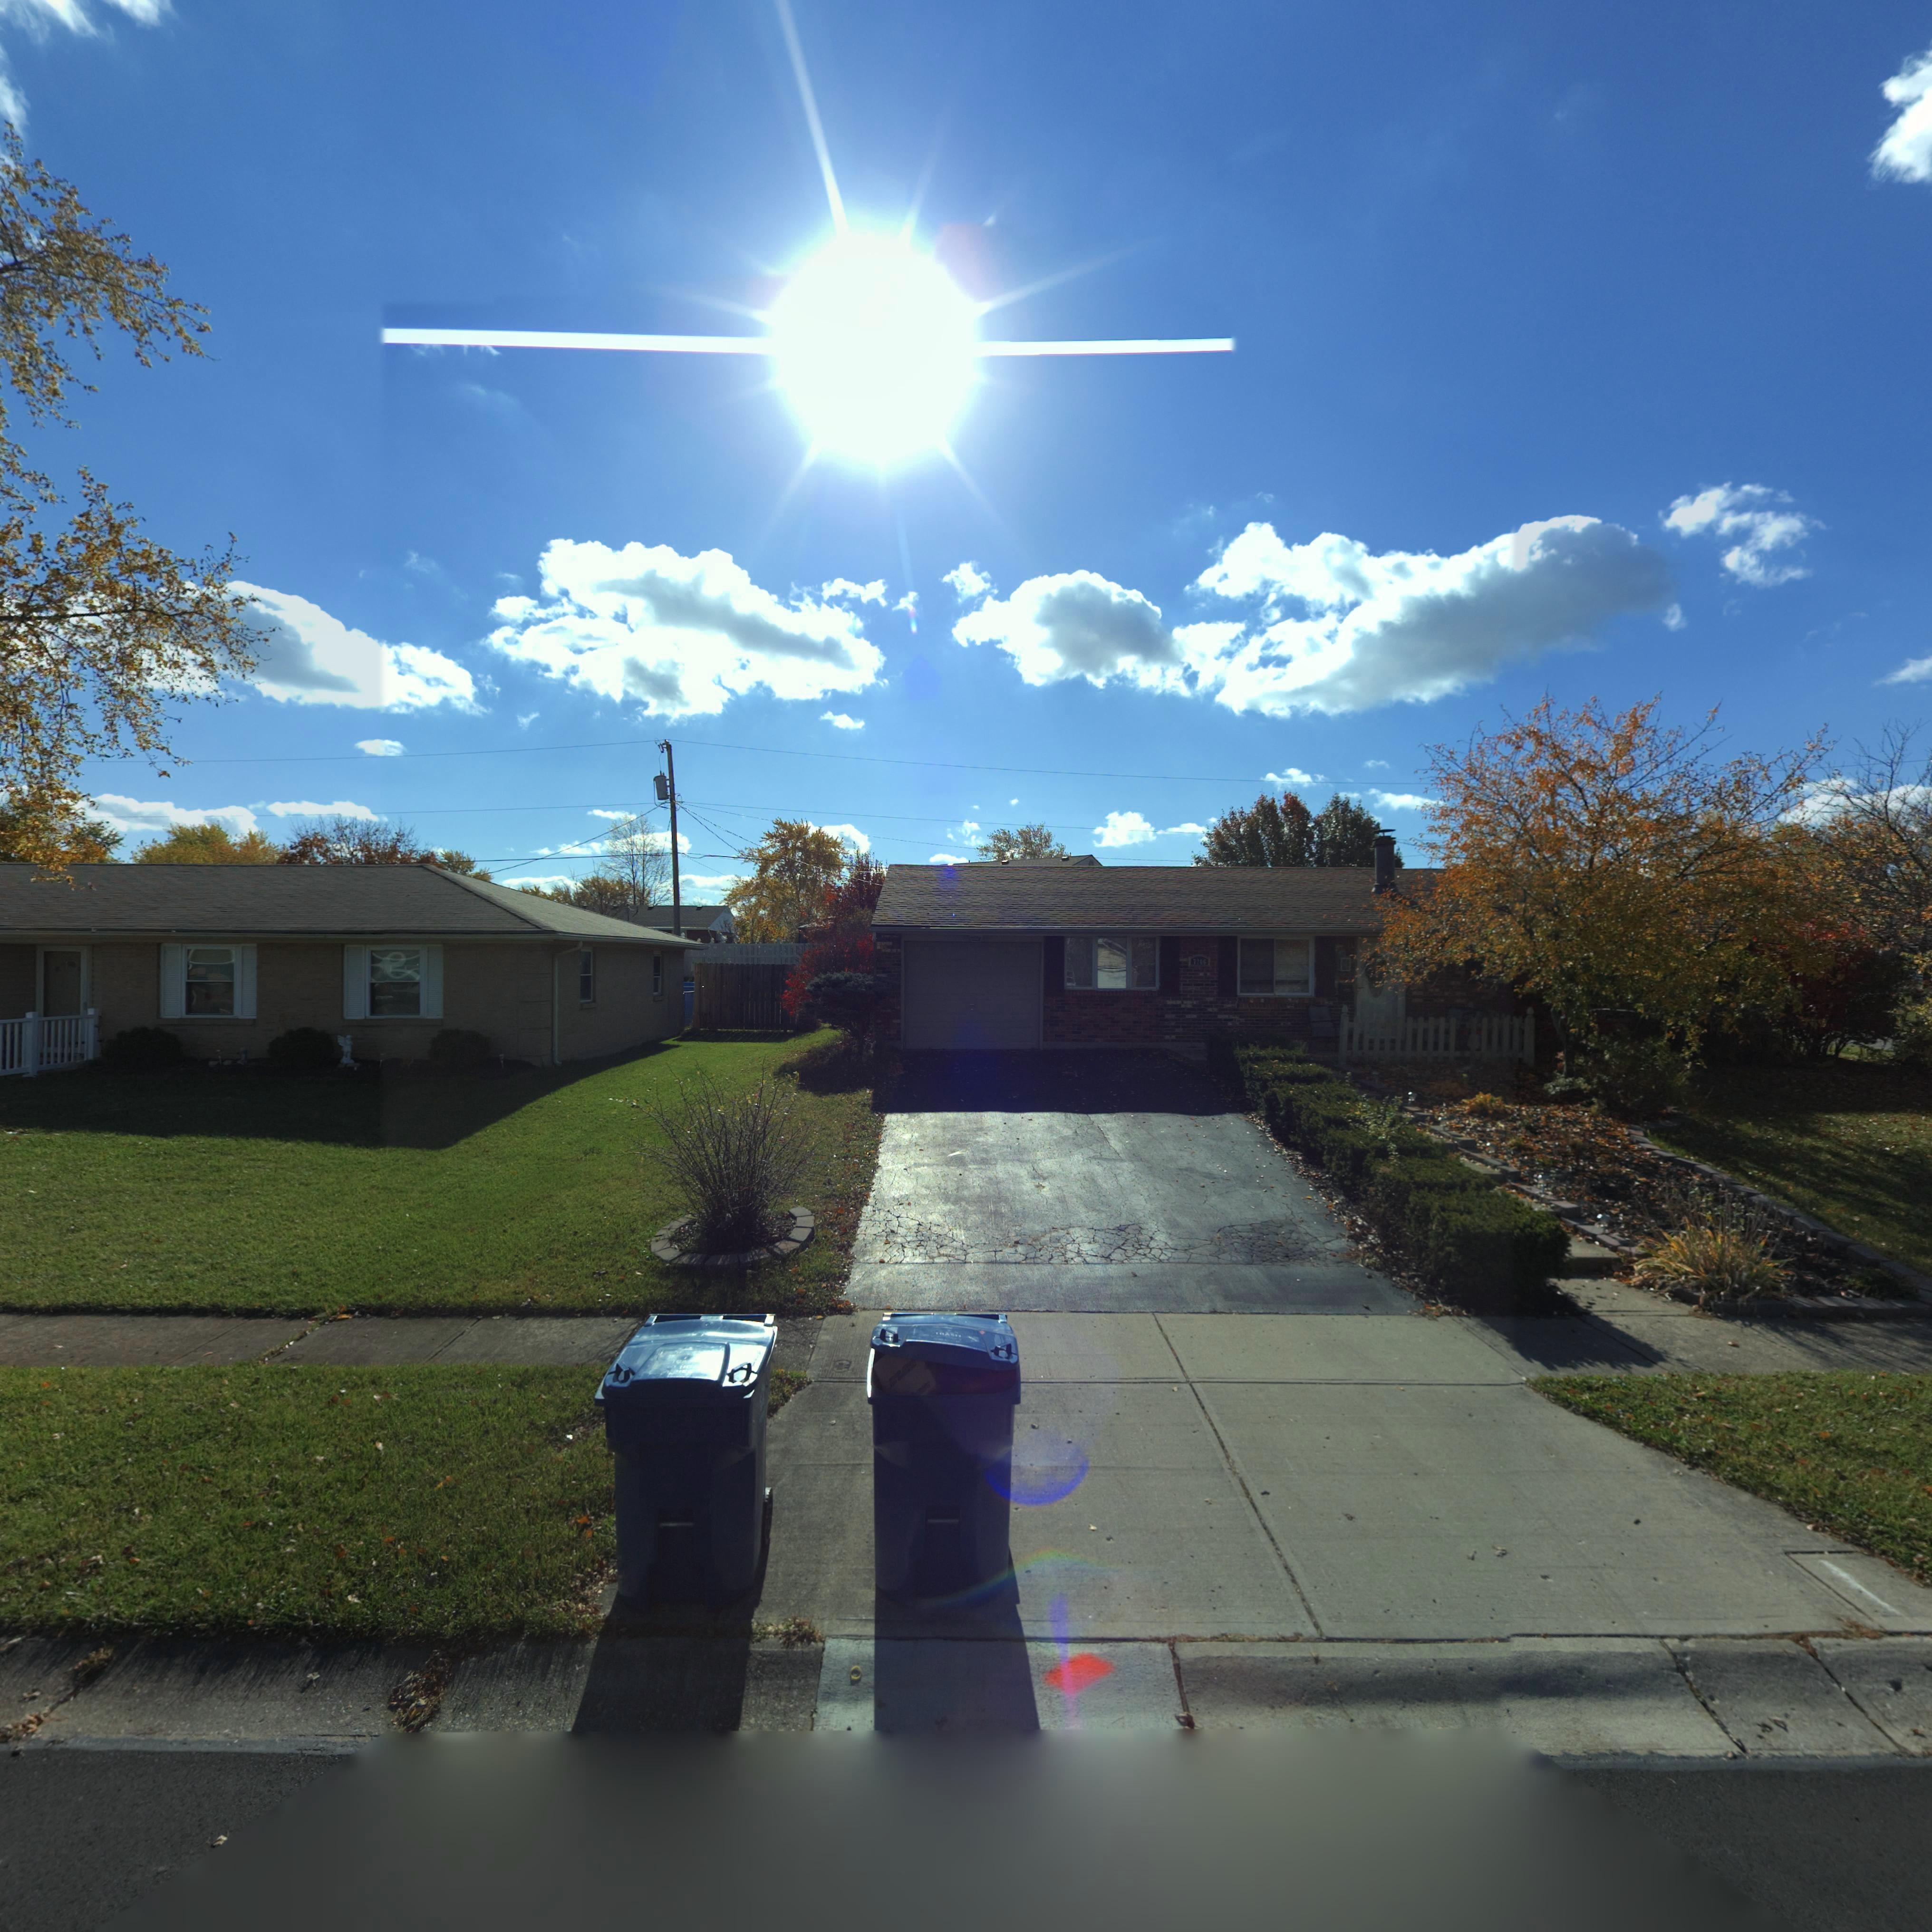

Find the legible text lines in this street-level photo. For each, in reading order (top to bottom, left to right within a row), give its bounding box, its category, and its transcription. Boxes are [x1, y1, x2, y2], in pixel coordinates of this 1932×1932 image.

[1192, 958, 1207, 966] StreetNumber: 7*06